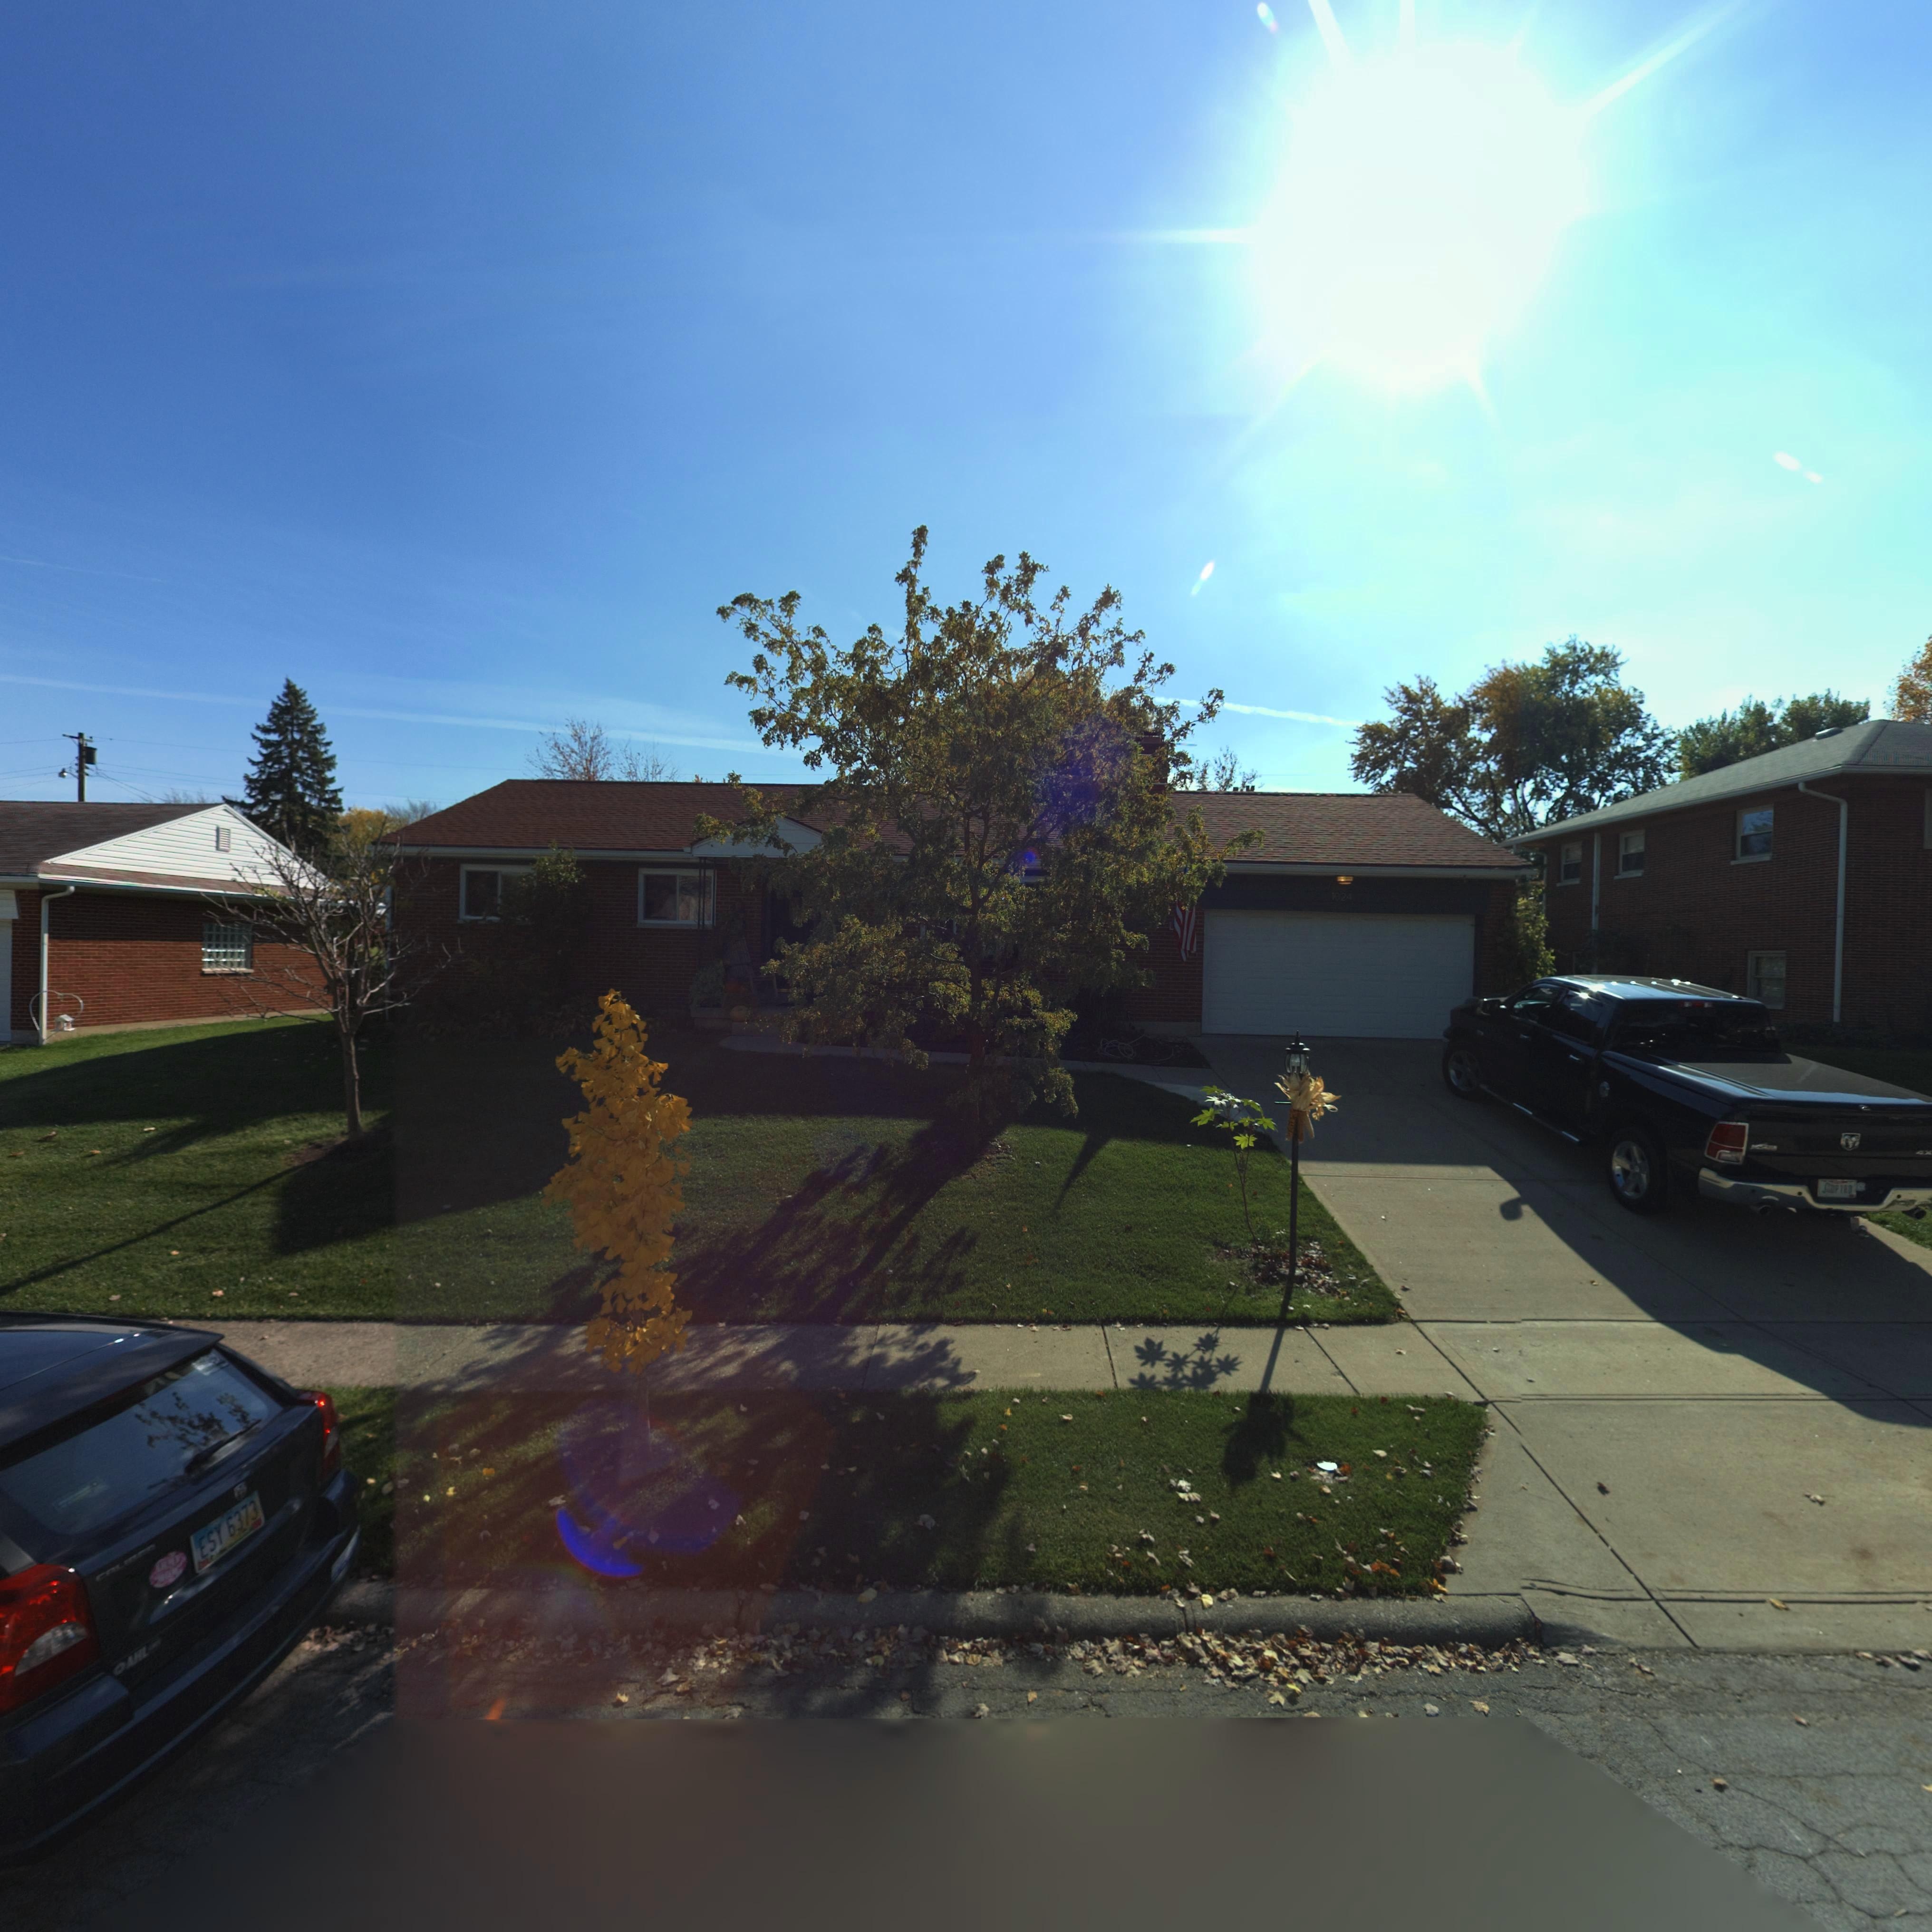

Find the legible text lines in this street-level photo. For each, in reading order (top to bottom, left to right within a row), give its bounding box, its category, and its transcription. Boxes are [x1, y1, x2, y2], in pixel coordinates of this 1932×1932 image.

[1331, 890, 1353, 904] StreetNumber: 1024
[195, 1497, 261, 1561] None: ESY 6373